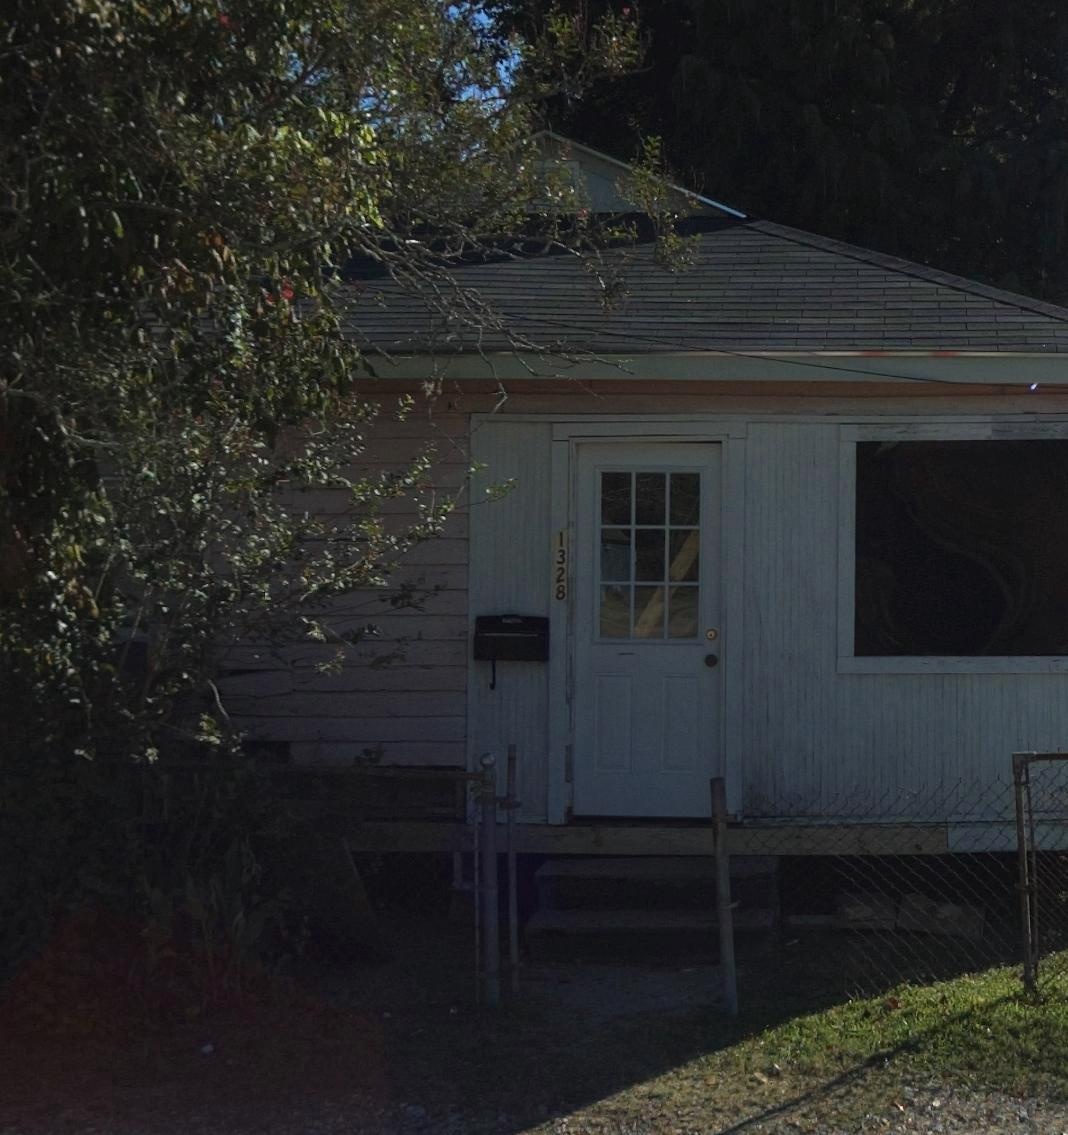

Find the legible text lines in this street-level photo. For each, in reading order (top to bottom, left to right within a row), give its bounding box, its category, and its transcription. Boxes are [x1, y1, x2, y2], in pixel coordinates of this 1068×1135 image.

[553, 529, 568, 602] StreetNumber: 1328